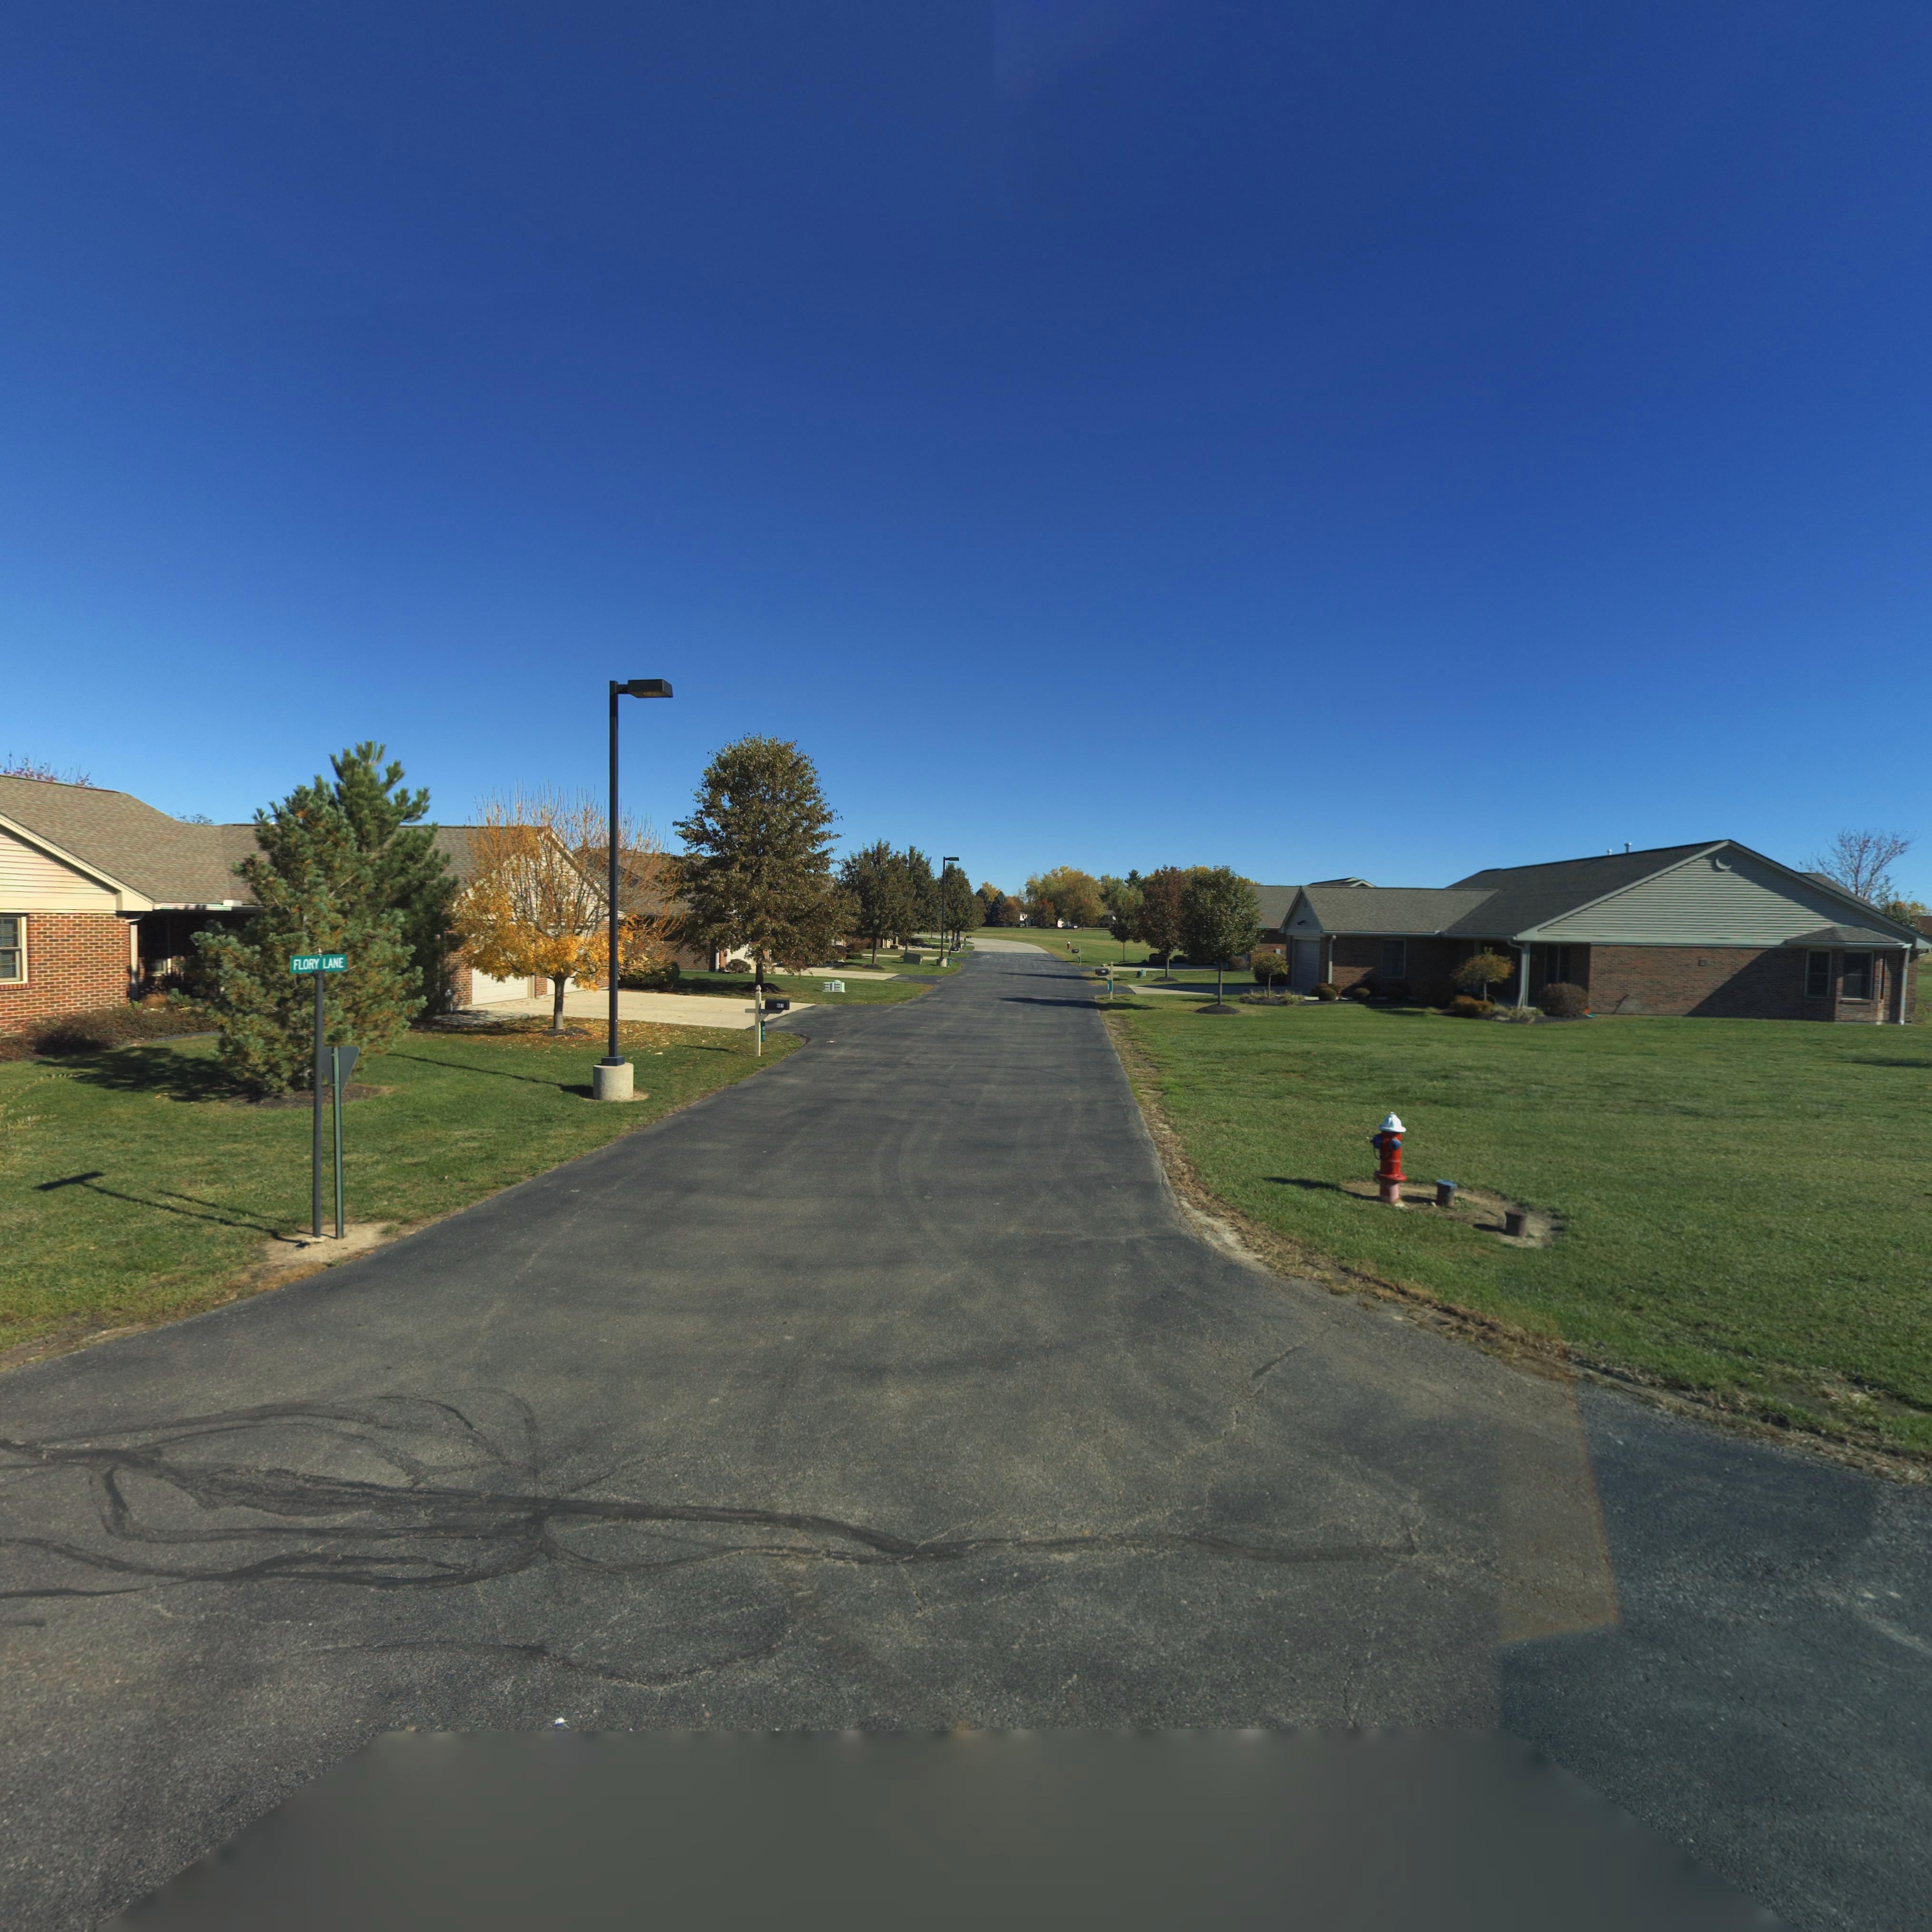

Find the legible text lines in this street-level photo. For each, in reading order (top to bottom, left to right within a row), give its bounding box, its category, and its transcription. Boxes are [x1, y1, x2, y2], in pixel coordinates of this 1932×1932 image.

[290, 957, 345, 970] StreetName: FLORY LANE
[777, 1003, 784, 1008] StreetNumber: *01
[763, 1026, 765, 1040] StreetNumber: 601